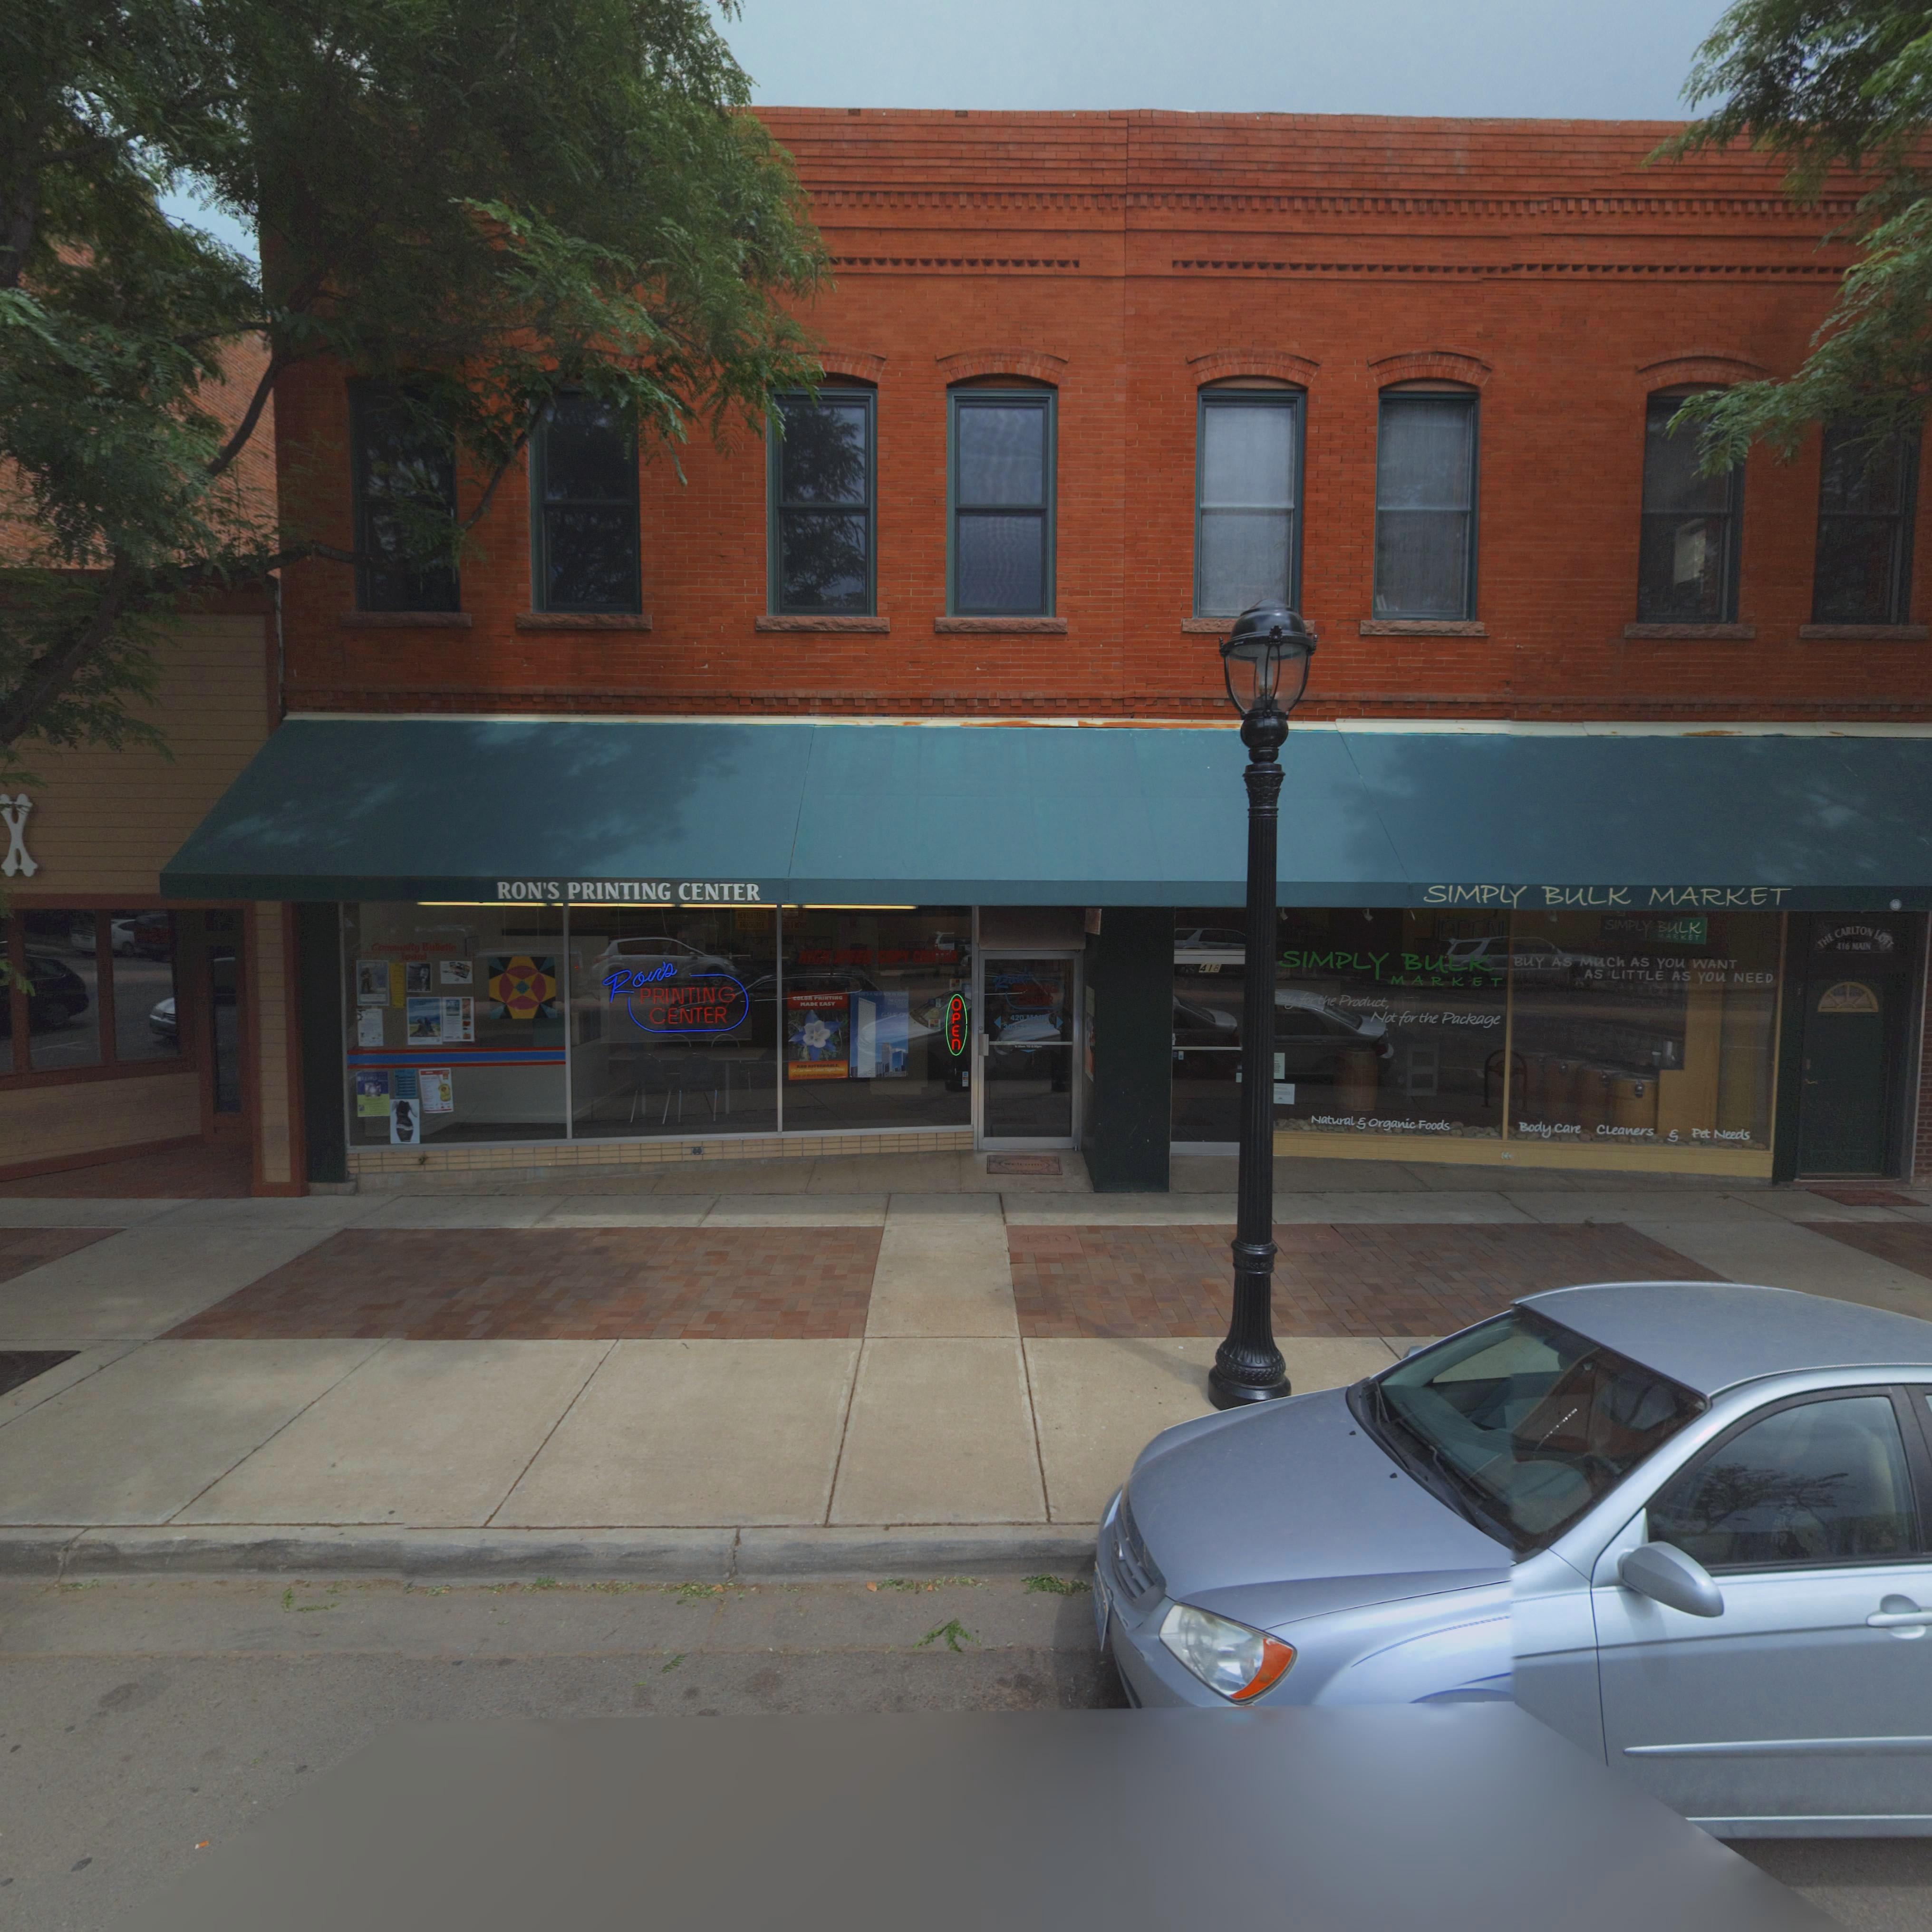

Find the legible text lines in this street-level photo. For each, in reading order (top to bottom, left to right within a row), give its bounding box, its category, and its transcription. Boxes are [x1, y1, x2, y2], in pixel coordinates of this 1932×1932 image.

[1, 792, 39, 879] BusinessName: *** **X
[497, 880, 761, 901] BusinessName: RON'S PRINTING CENTER
[1421, 884, 1793, 910] BusinessName: SIMPLY BULK MARKET
[1604, 918, 1702, 937] BusinessName: SIMPLY BULK
[1657, 932, 1700, 941] BusinessName: MARKET
[1835, 942, 1850, 950] StreetNumber: 416
[1816, 925, 1895, 948] BusinessName: THE CARLTON LOFT
[1851, 942, 1871, 950] StreetName: MAIN
[1198, 963, 1220, 972] StreetNumber: 418
[1278, 949, 1496, 981] BusinessName: SIMPLY BULK
[601, 960, 678, 1004] BusinessName: Ron's
[640, 985, 735, 1005] BusinessName: PRINTING
[992, 970, 1033, 992] BusinessName: Ron's
[1016, 995, 1053, 1005] BusinessName: CEN**R
[1013, 984, 1057, 994] BusinessName: *****NG
[1390, 975, 1503, 987] BusinessName: MARKET
[648, 1006, 727, 1024] BusinessName: CENTER
[1010, 1014, 1024, 1021] StreetNumber: 420
[1026, 1014, 1048, 1021] StreetName: MA**